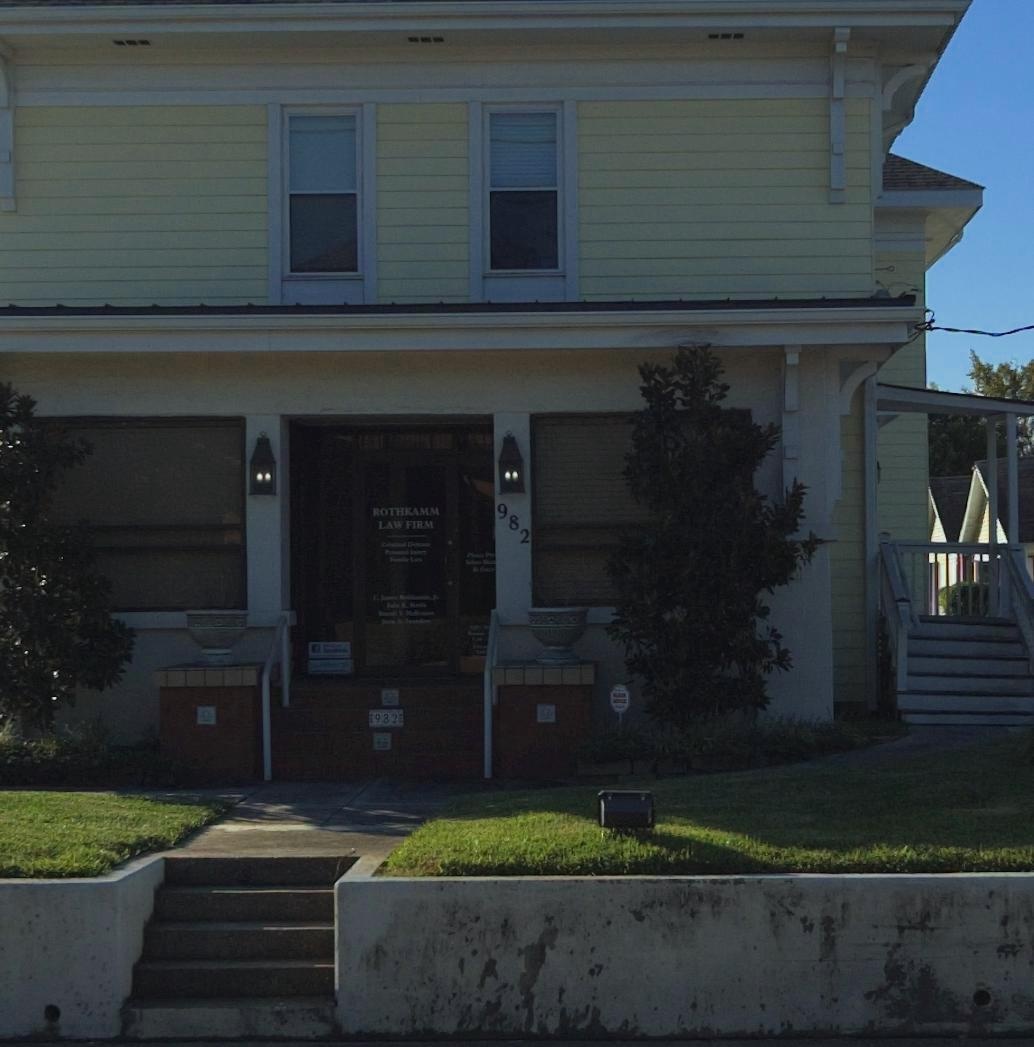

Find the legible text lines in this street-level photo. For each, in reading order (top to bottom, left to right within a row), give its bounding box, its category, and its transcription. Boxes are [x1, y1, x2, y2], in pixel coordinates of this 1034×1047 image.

[371, 504, 443, 519] BusinessName: ROTHKAMM
[376, 518, 437, 532] BusinessName: LAW FIRM
[494, 500, 535, 554] StreetNumber: 982
[373, 712, 400, 725] StreetNumber: 982